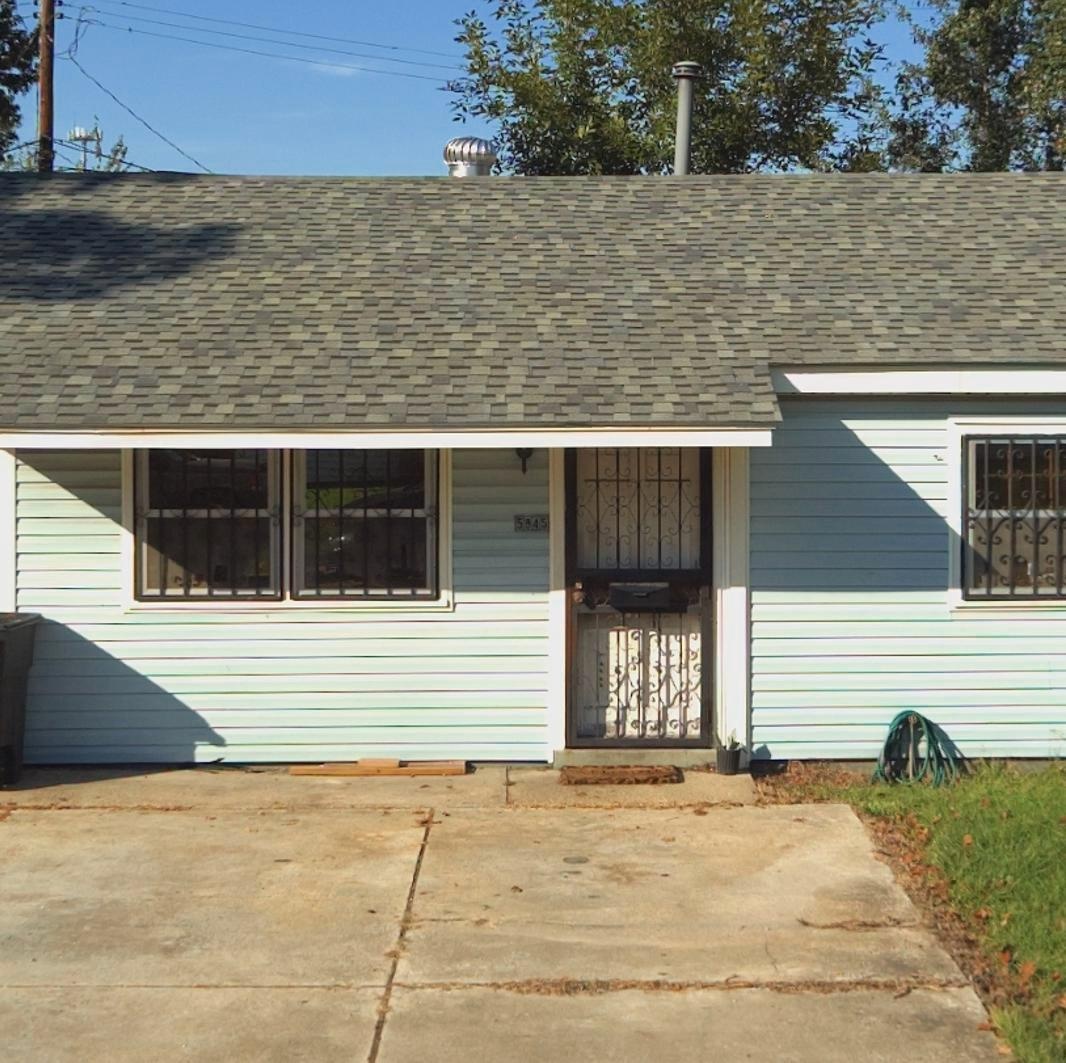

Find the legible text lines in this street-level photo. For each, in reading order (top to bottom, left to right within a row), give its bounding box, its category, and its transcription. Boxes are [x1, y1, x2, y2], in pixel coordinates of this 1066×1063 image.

[516, 516, 548, 530] StreetNumber: 5845